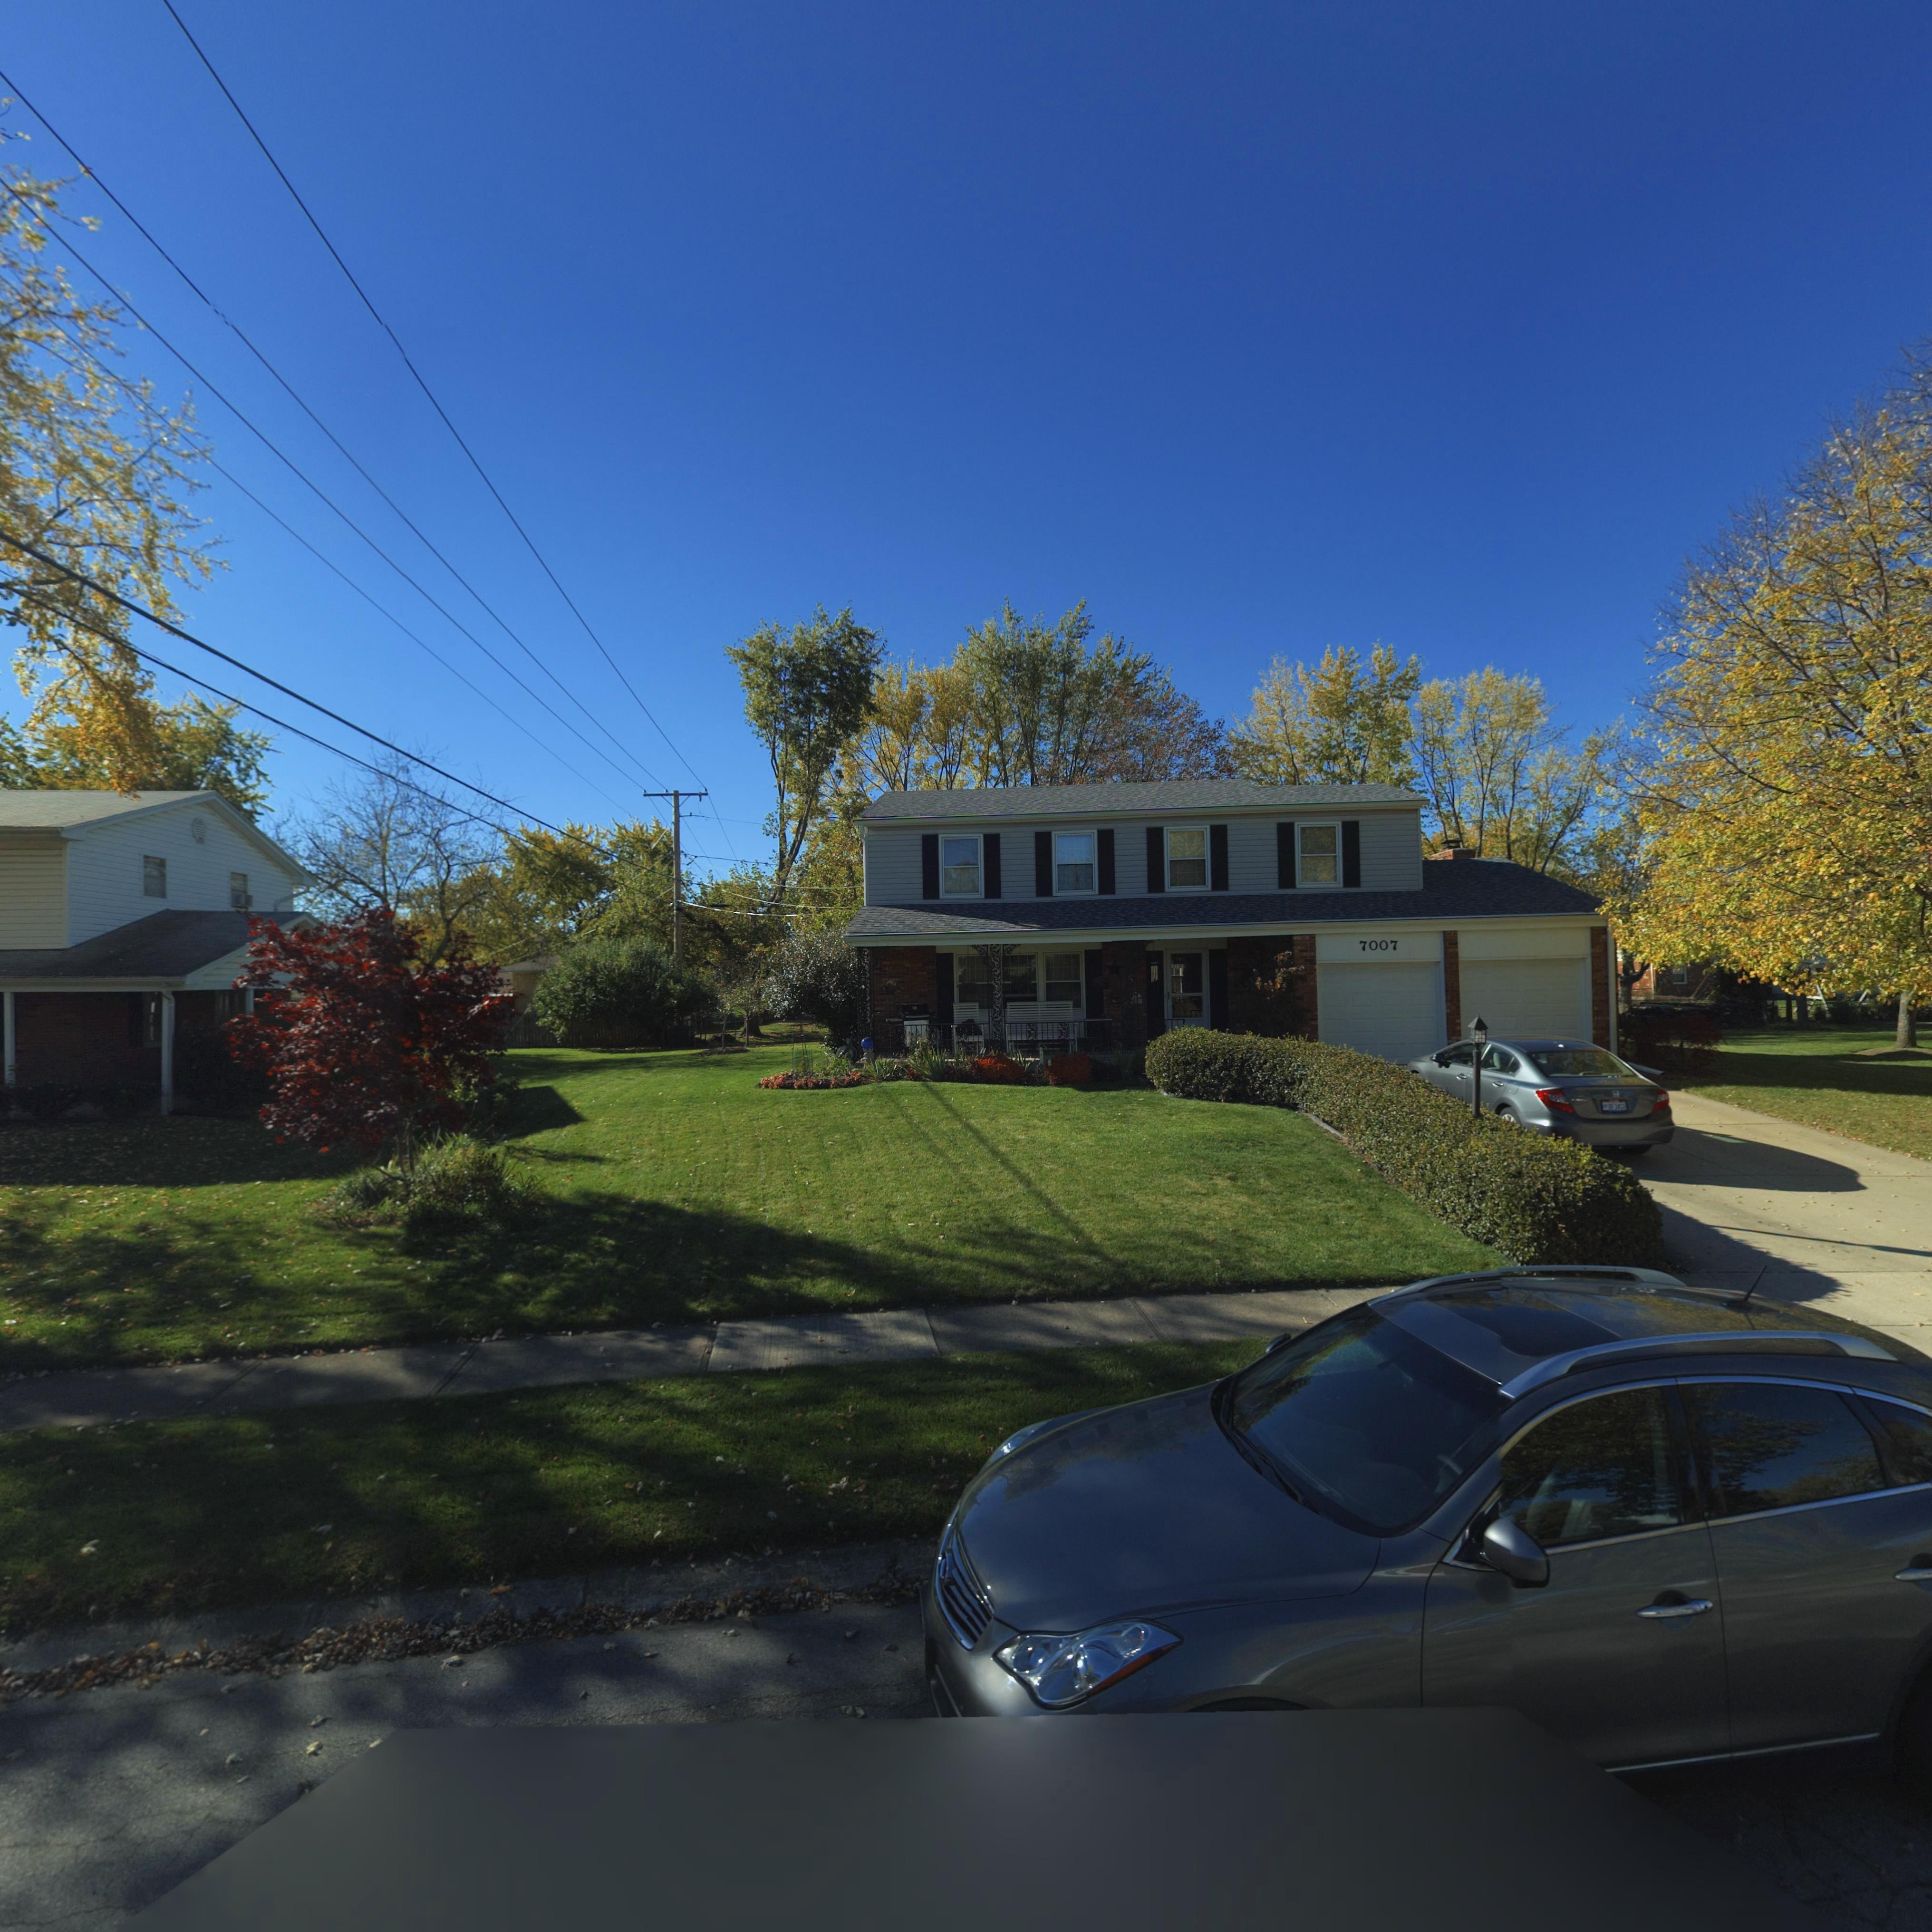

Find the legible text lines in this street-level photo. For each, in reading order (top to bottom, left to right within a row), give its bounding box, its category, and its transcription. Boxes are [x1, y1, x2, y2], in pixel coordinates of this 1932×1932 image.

[1358, 939, 1399, 952] StreetNumber: 7007